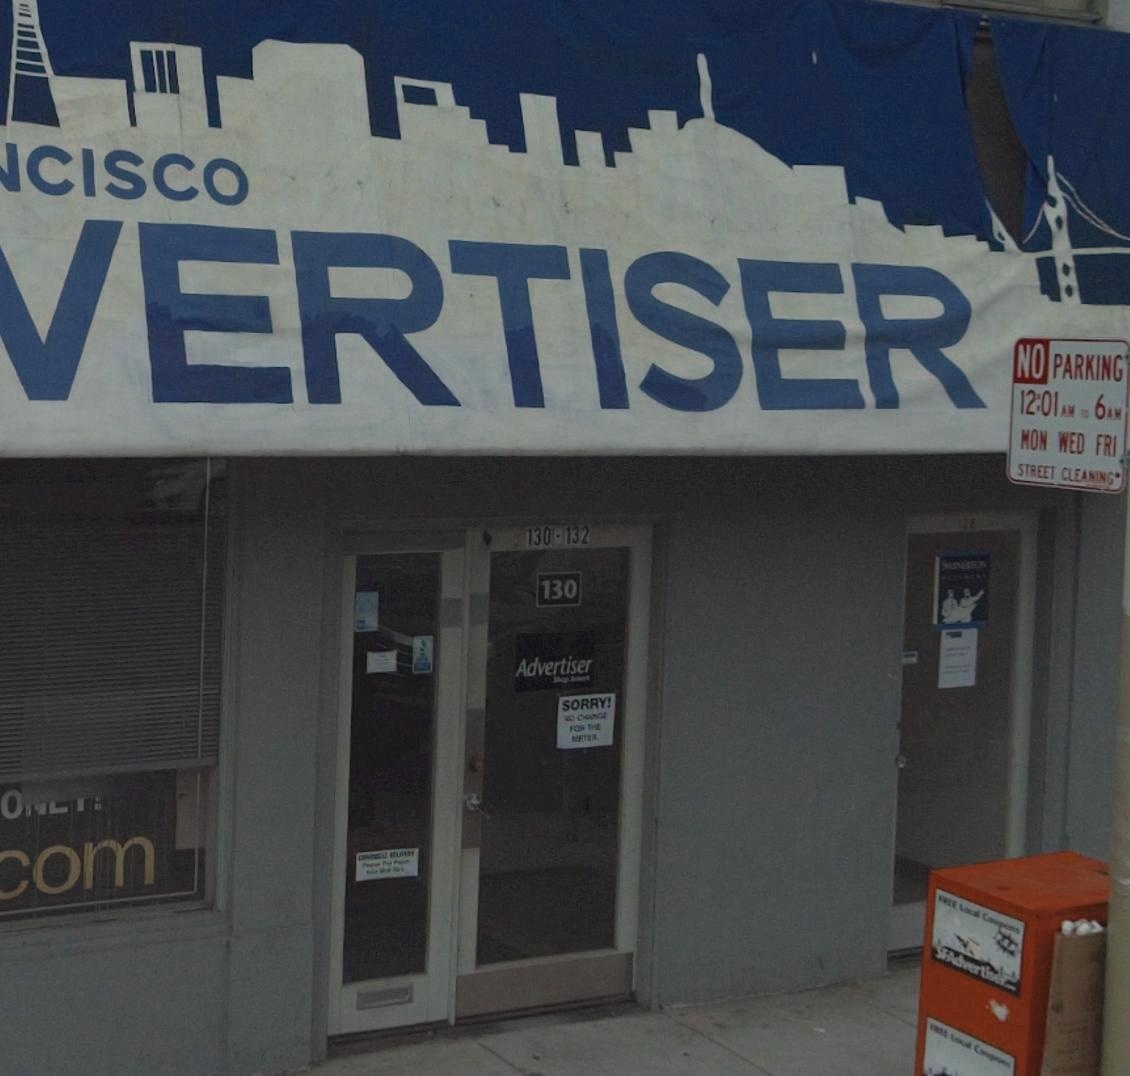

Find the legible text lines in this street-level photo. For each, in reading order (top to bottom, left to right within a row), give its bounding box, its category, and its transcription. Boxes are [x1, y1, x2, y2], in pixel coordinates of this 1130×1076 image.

[23, 138, 254, 211] None: CISCO
[128, 209, 1002, 420] BusinessName: ERTISER
[1014, 338, 1127, 386] None: NO PARKING
[1017, 385, 1126, 425] None: 12:01AM ** 6AM
[1016, 424, 1121, 461] None: MON WED FRI
[1014, 459, 1118, 489] None: STREET CLEANING
[525, 524, 553, 548] StreetNumber: 130-132
[564, 524, 592, 547] StreetNumber: 132
[956, 515, 978, 532] StreetNumber: 12*
[539, 577, 579, 602] StreetNumber: 130
[512, 649, 597, 682] BusinessName: Advertiser
[559, 692, 616, 716] None: SORRY!
[0, 786, 27, 823] None: O
[28, 831, 160, 901] None: om